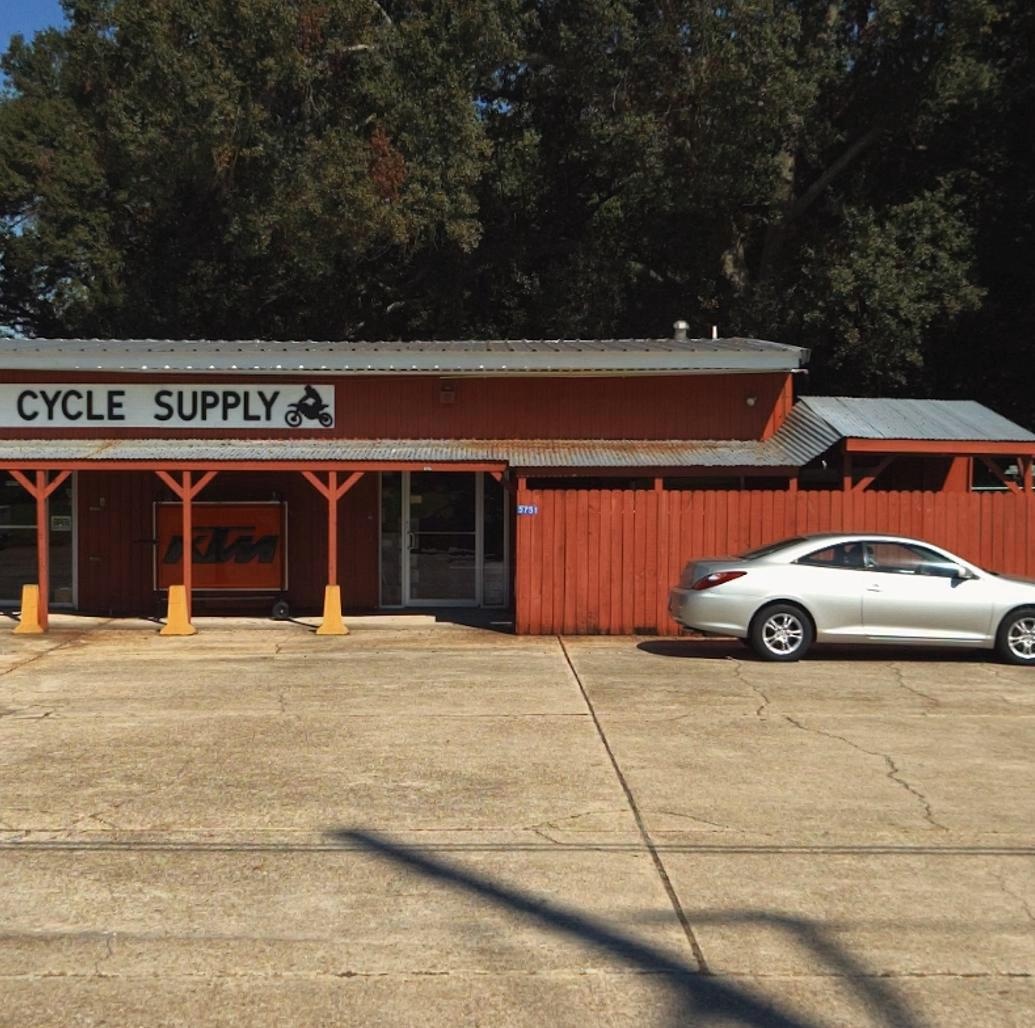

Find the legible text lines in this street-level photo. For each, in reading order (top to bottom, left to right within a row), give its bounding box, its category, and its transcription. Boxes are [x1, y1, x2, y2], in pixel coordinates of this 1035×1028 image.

[16, 388, 282, 422] BusinessName: CYCLE SUPPY
[517, 505, 538, 515] StreetNumber: 5701
[158, 525, 280, 565] None: *TM